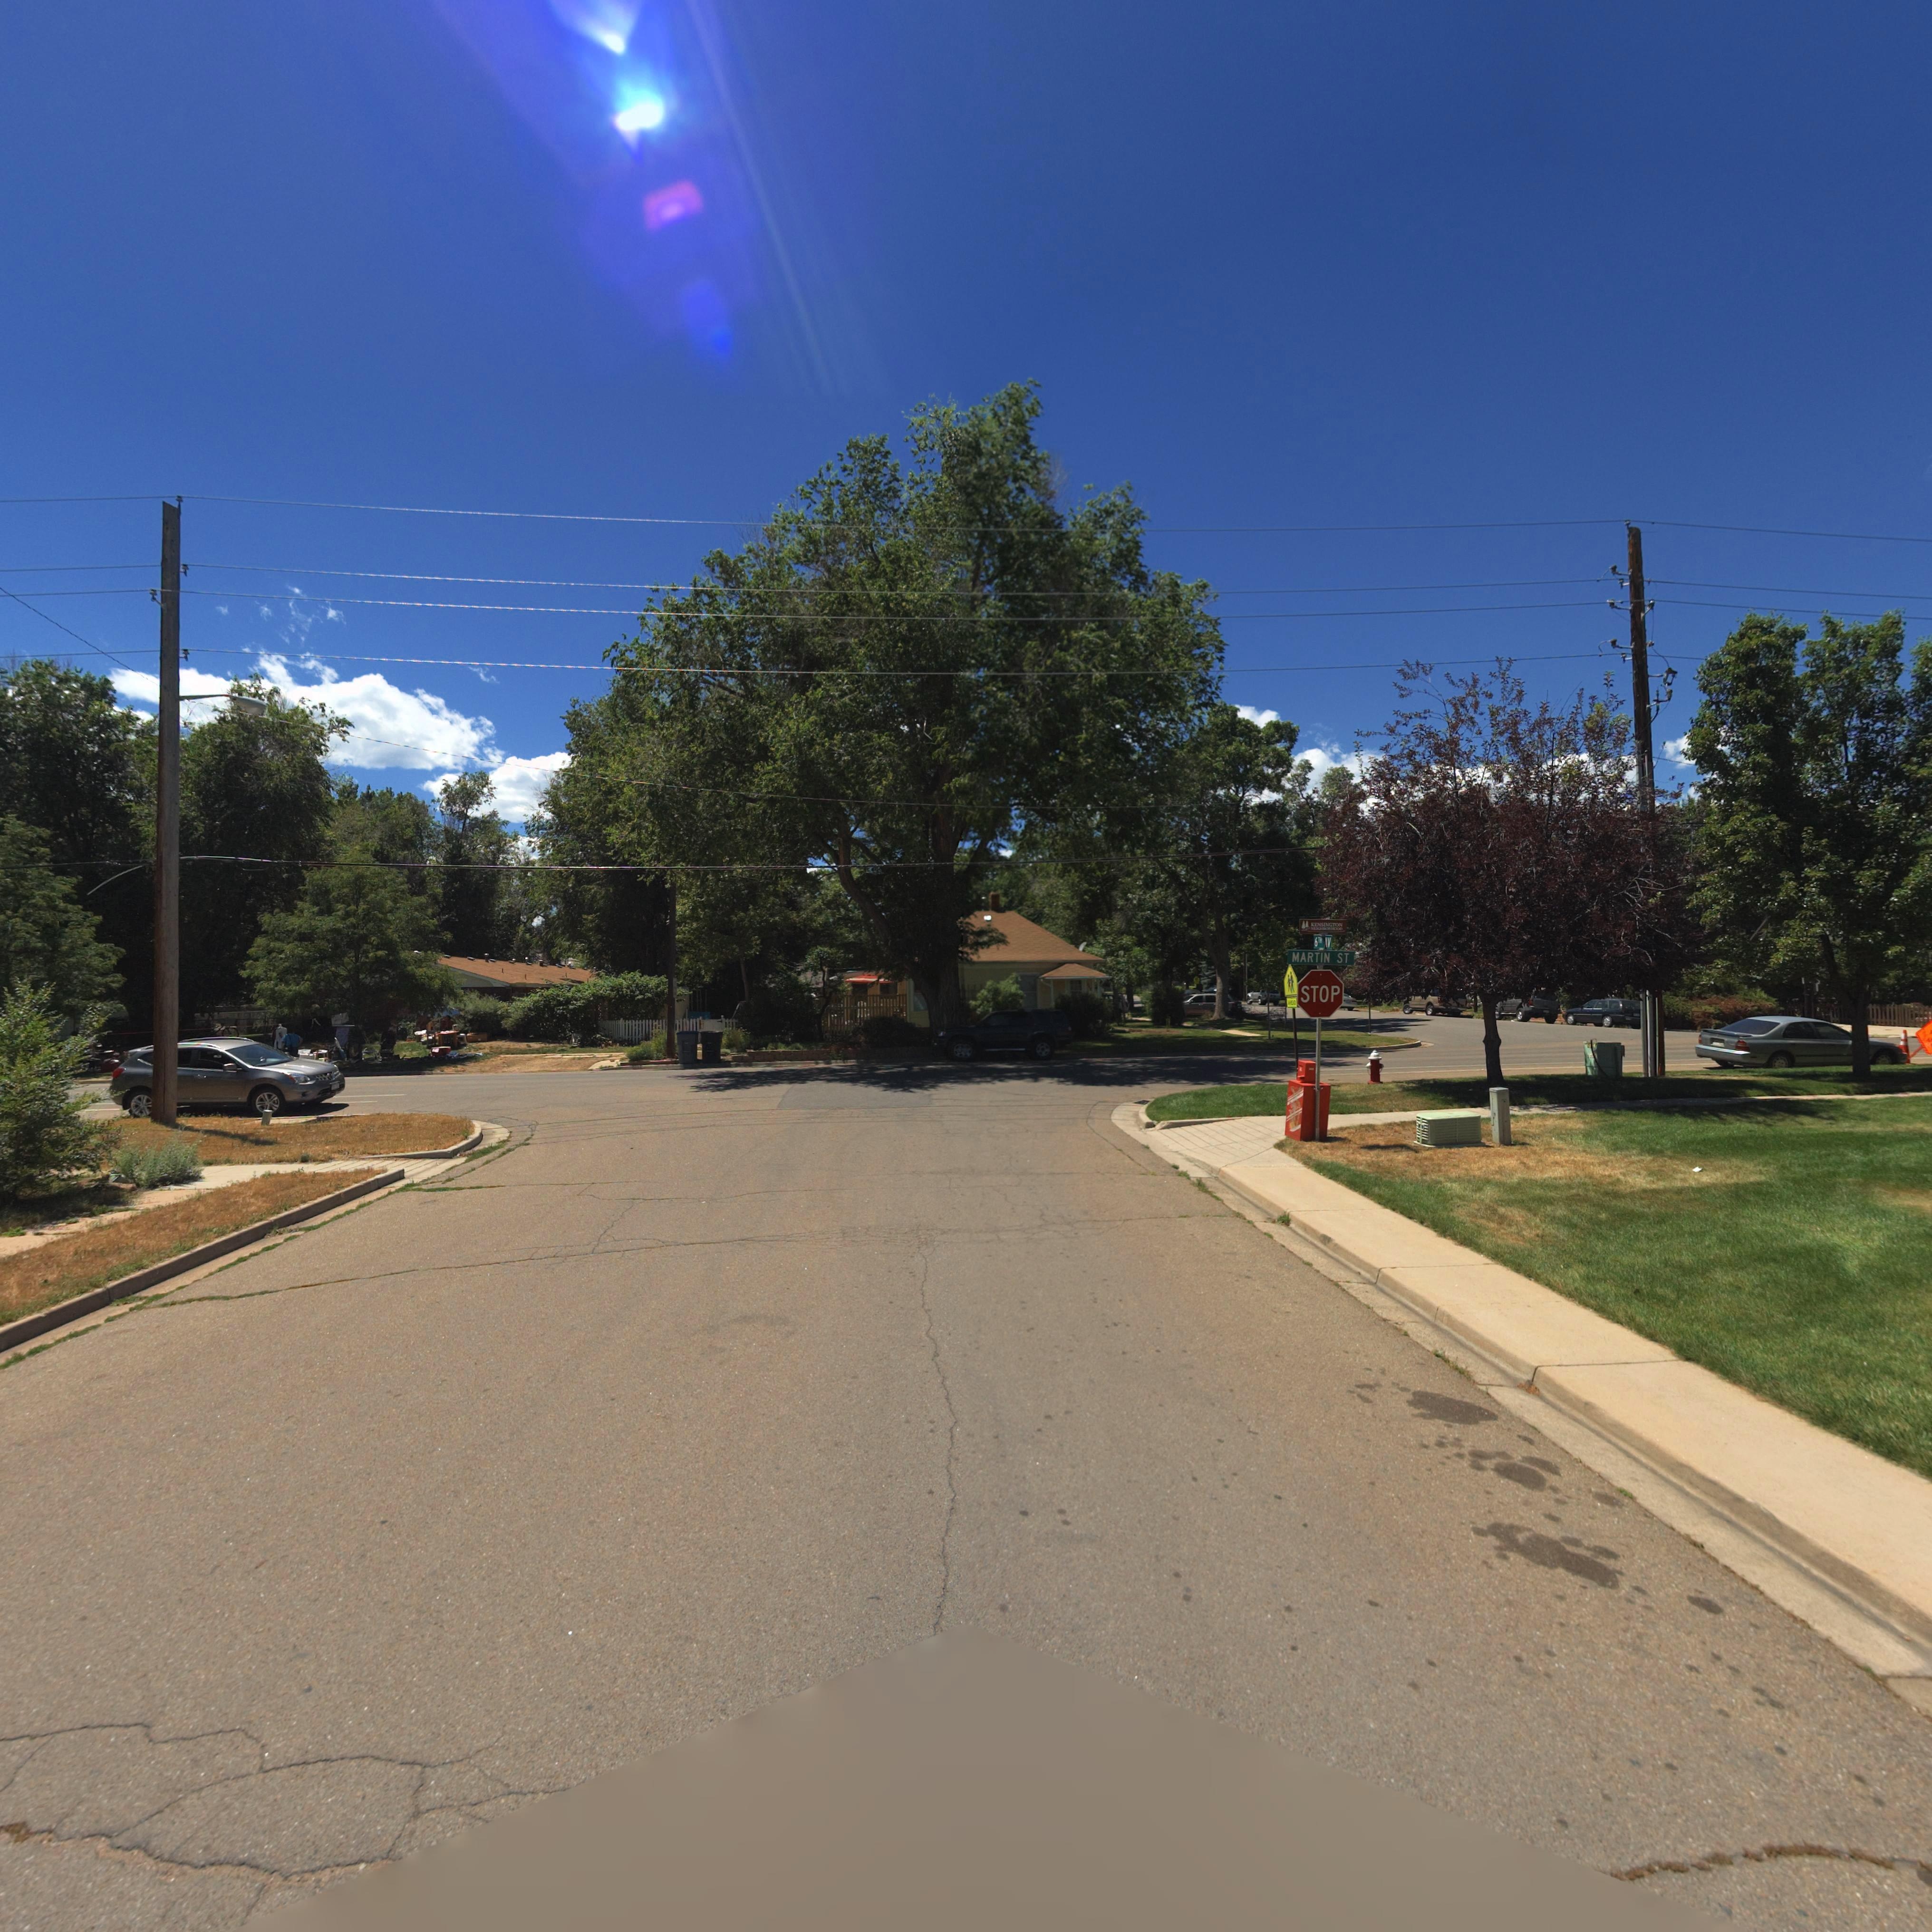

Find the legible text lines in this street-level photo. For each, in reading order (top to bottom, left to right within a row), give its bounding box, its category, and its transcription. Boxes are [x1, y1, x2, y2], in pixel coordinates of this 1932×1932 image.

[1314, 936, 1331, 948] StreetName: 6TH AV
[1292, 951, 1350, 963] StreetName: MARTIN ST